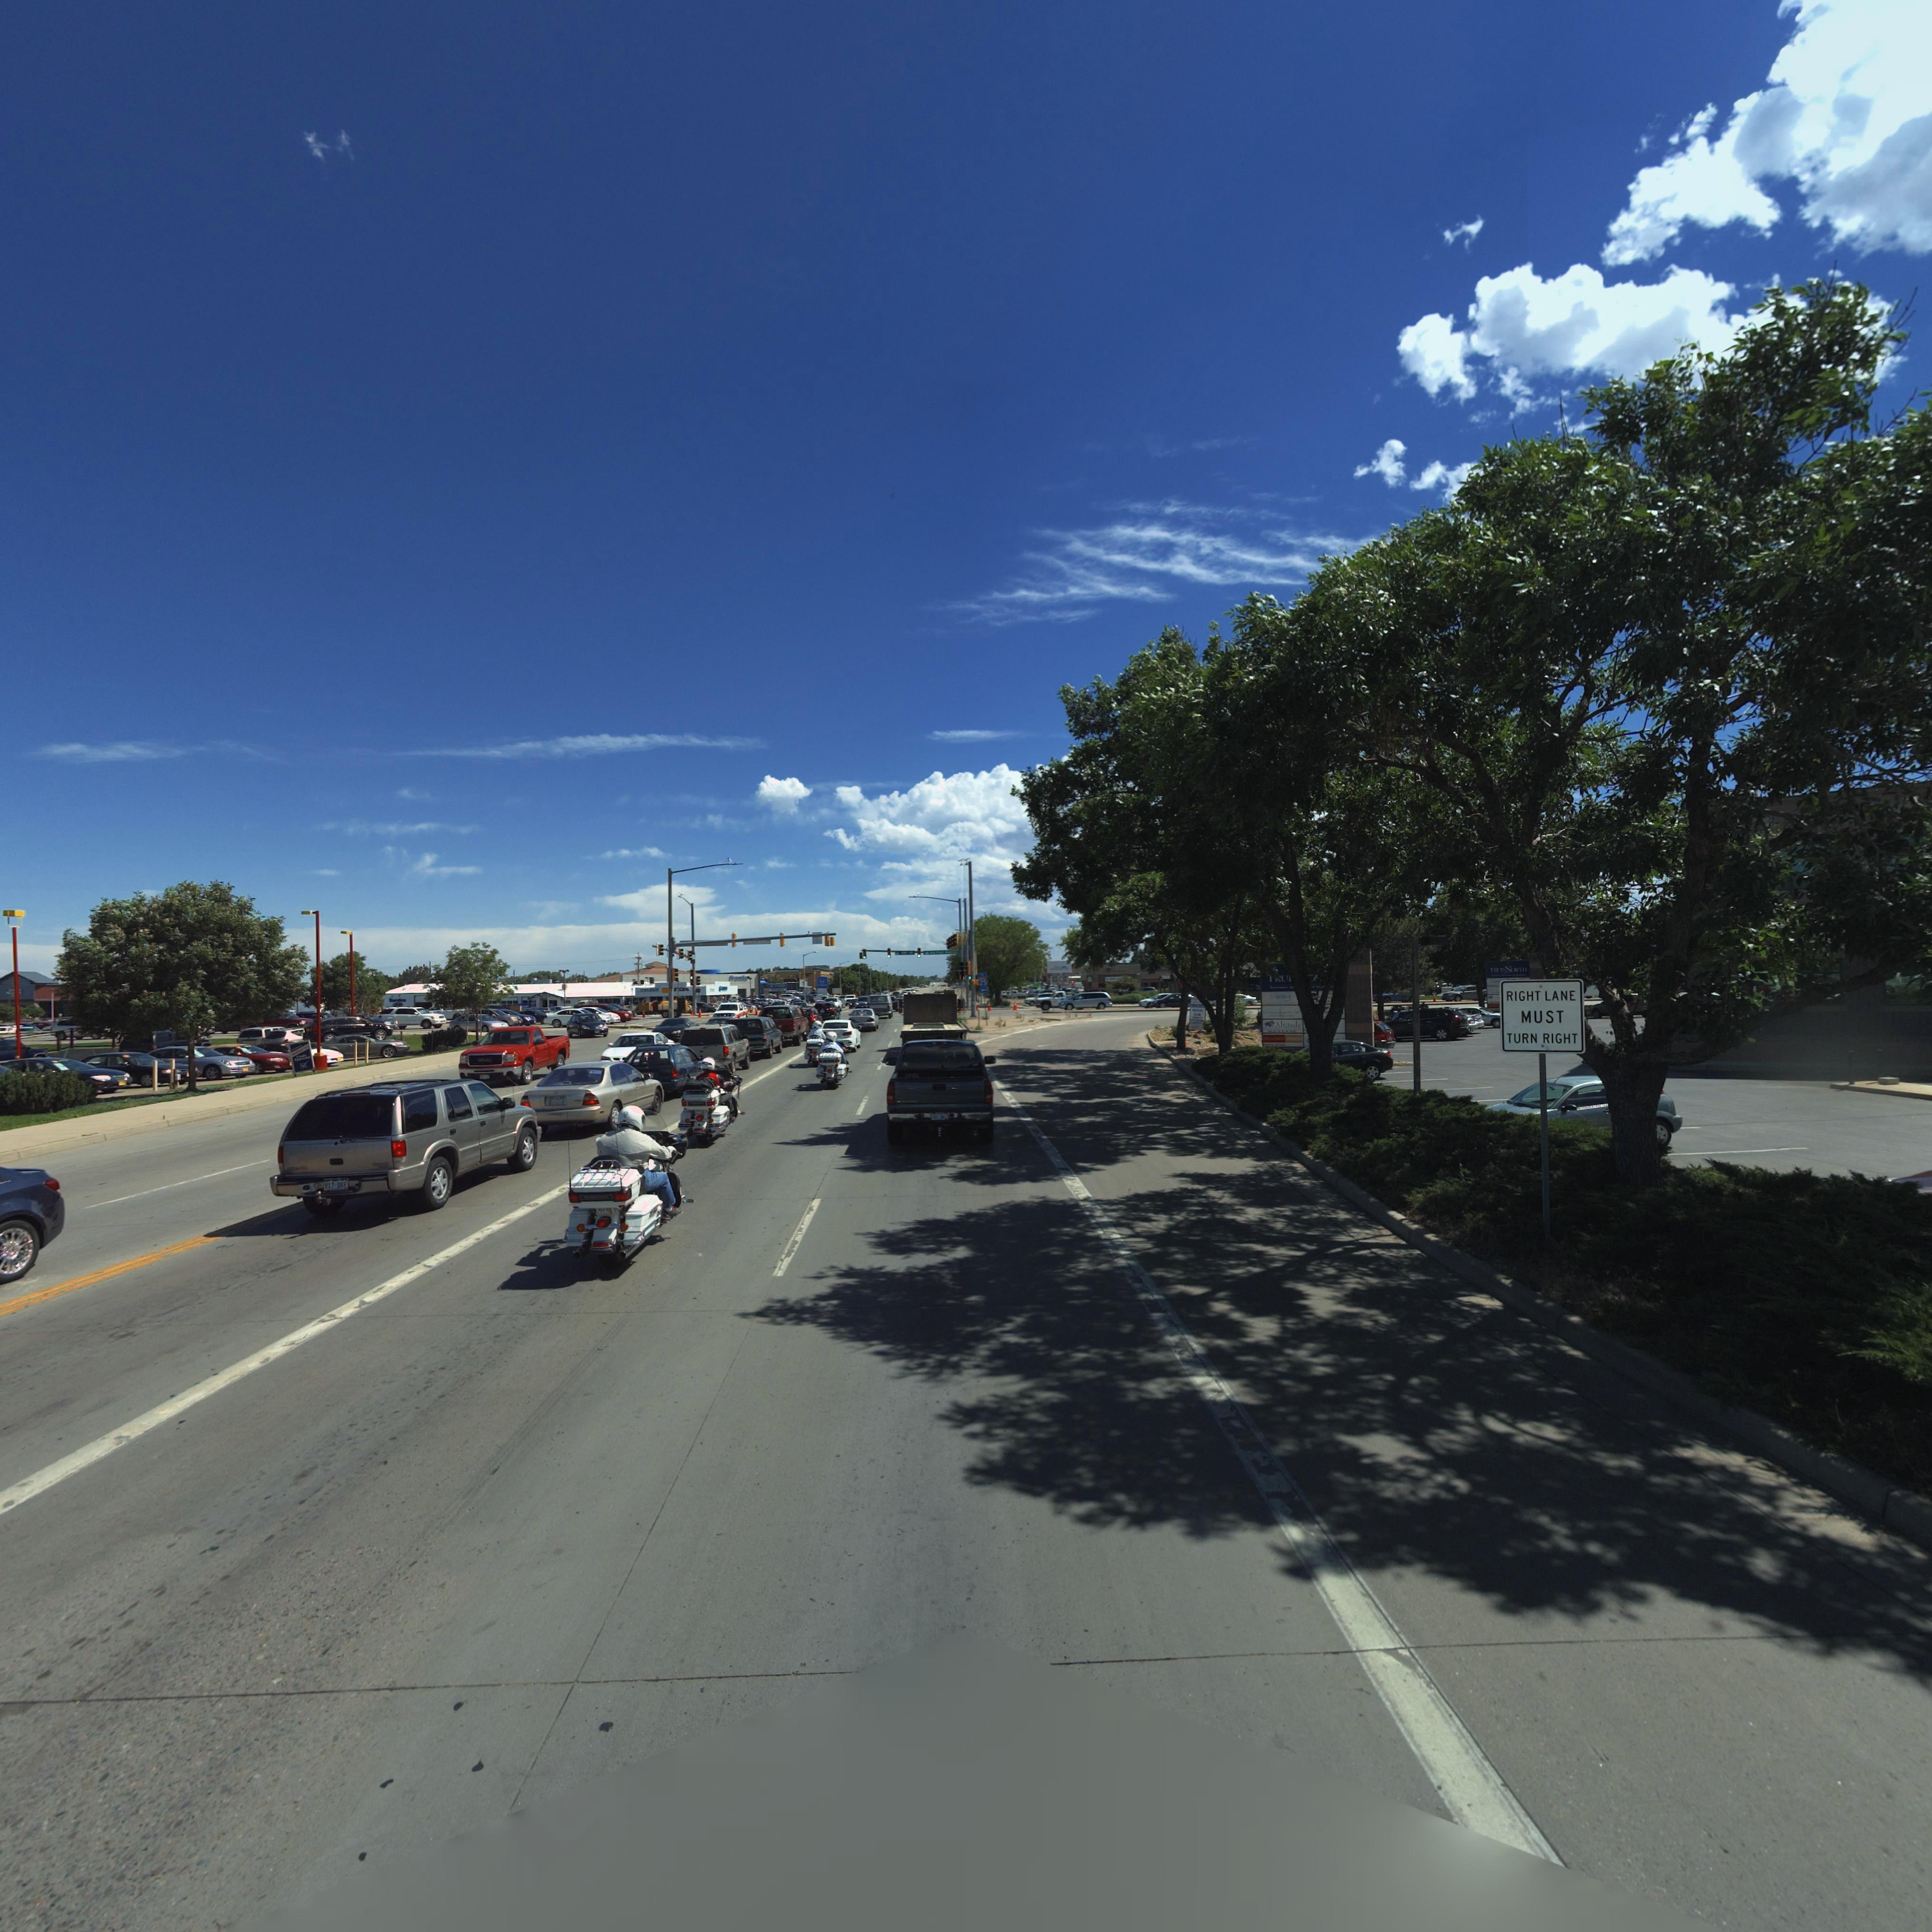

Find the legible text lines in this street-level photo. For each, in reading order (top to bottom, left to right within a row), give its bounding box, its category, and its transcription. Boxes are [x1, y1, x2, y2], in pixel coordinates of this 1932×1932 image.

[1507, 1034, 1577, 1043] BusinessName: TURN RIGHT